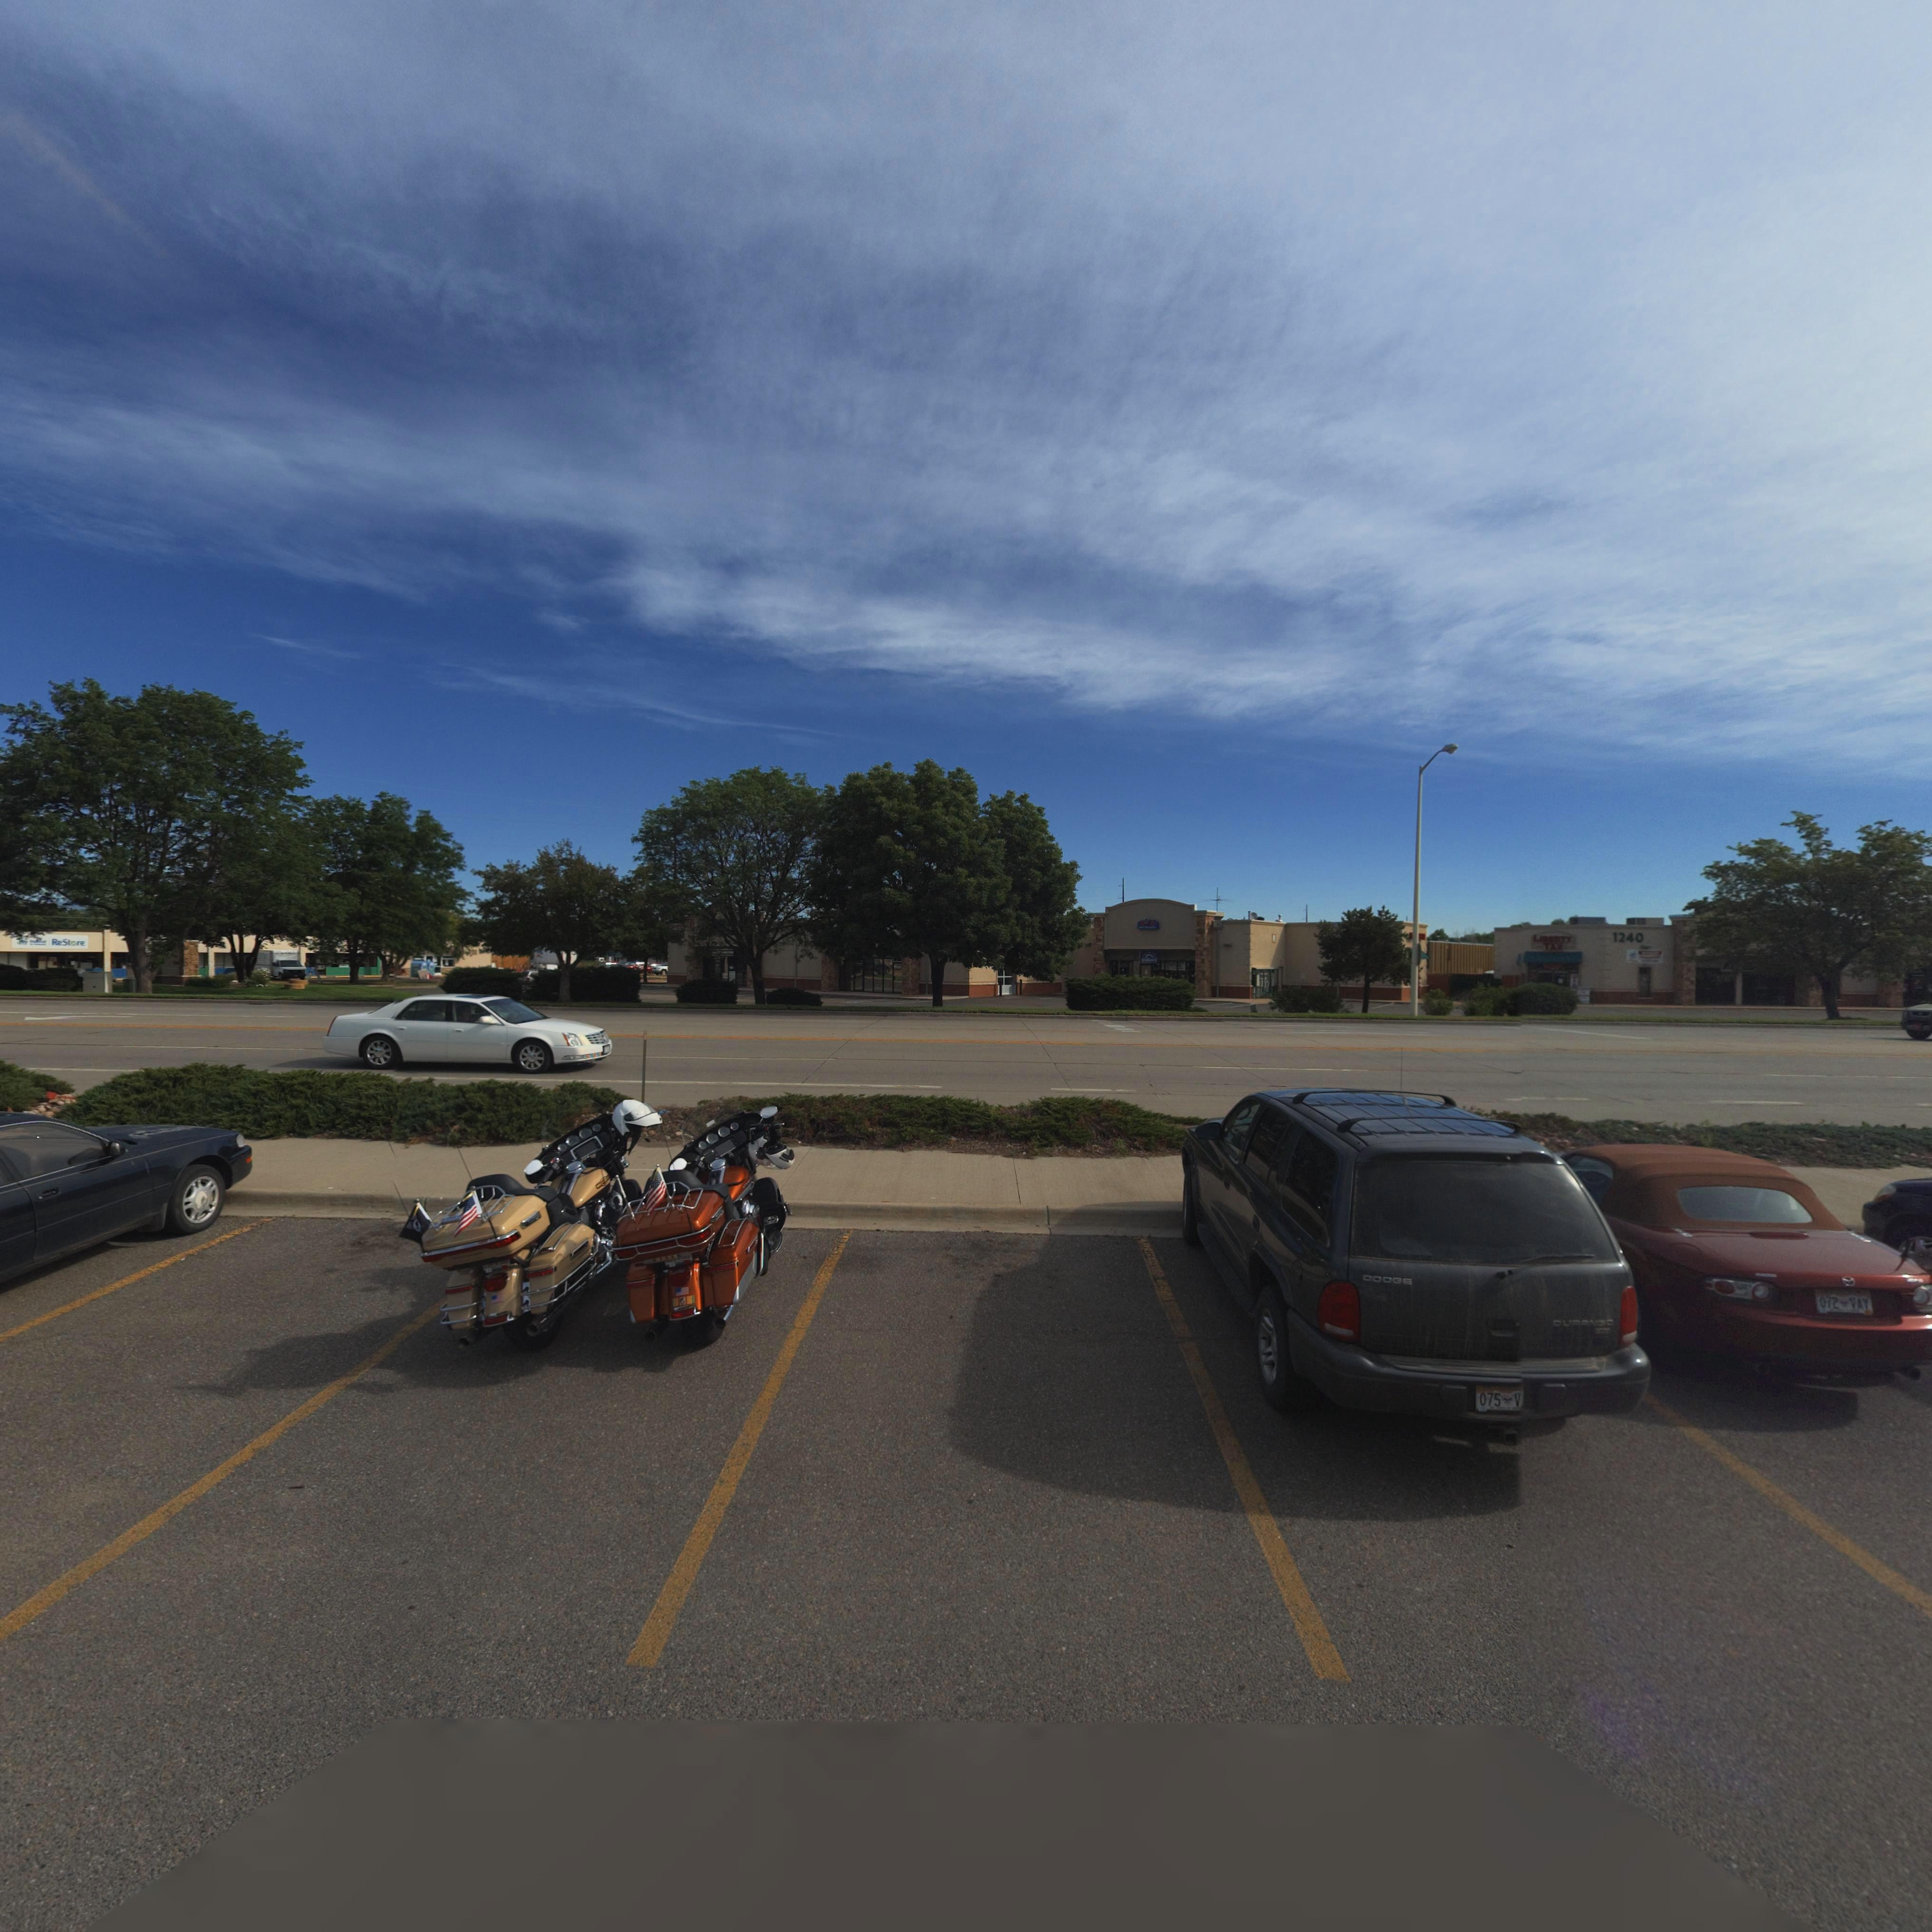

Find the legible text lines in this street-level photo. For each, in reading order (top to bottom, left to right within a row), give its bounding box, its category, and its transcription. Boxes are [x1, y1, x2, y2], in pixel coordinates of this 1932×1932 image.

[1150, 921, 1154, 925] BusinessName: D
[51, 938, 86, 946] BusinessName: ReStore
[1533, 935, 1573, 943] BusinessName: LI**RTY
[1612, 932, 1644, 944] StreetNumber: 1240
[1543, 942, 1562, 951] BusinessName: TAX
[1571, 976, 1577, 987] BusinessName: TA